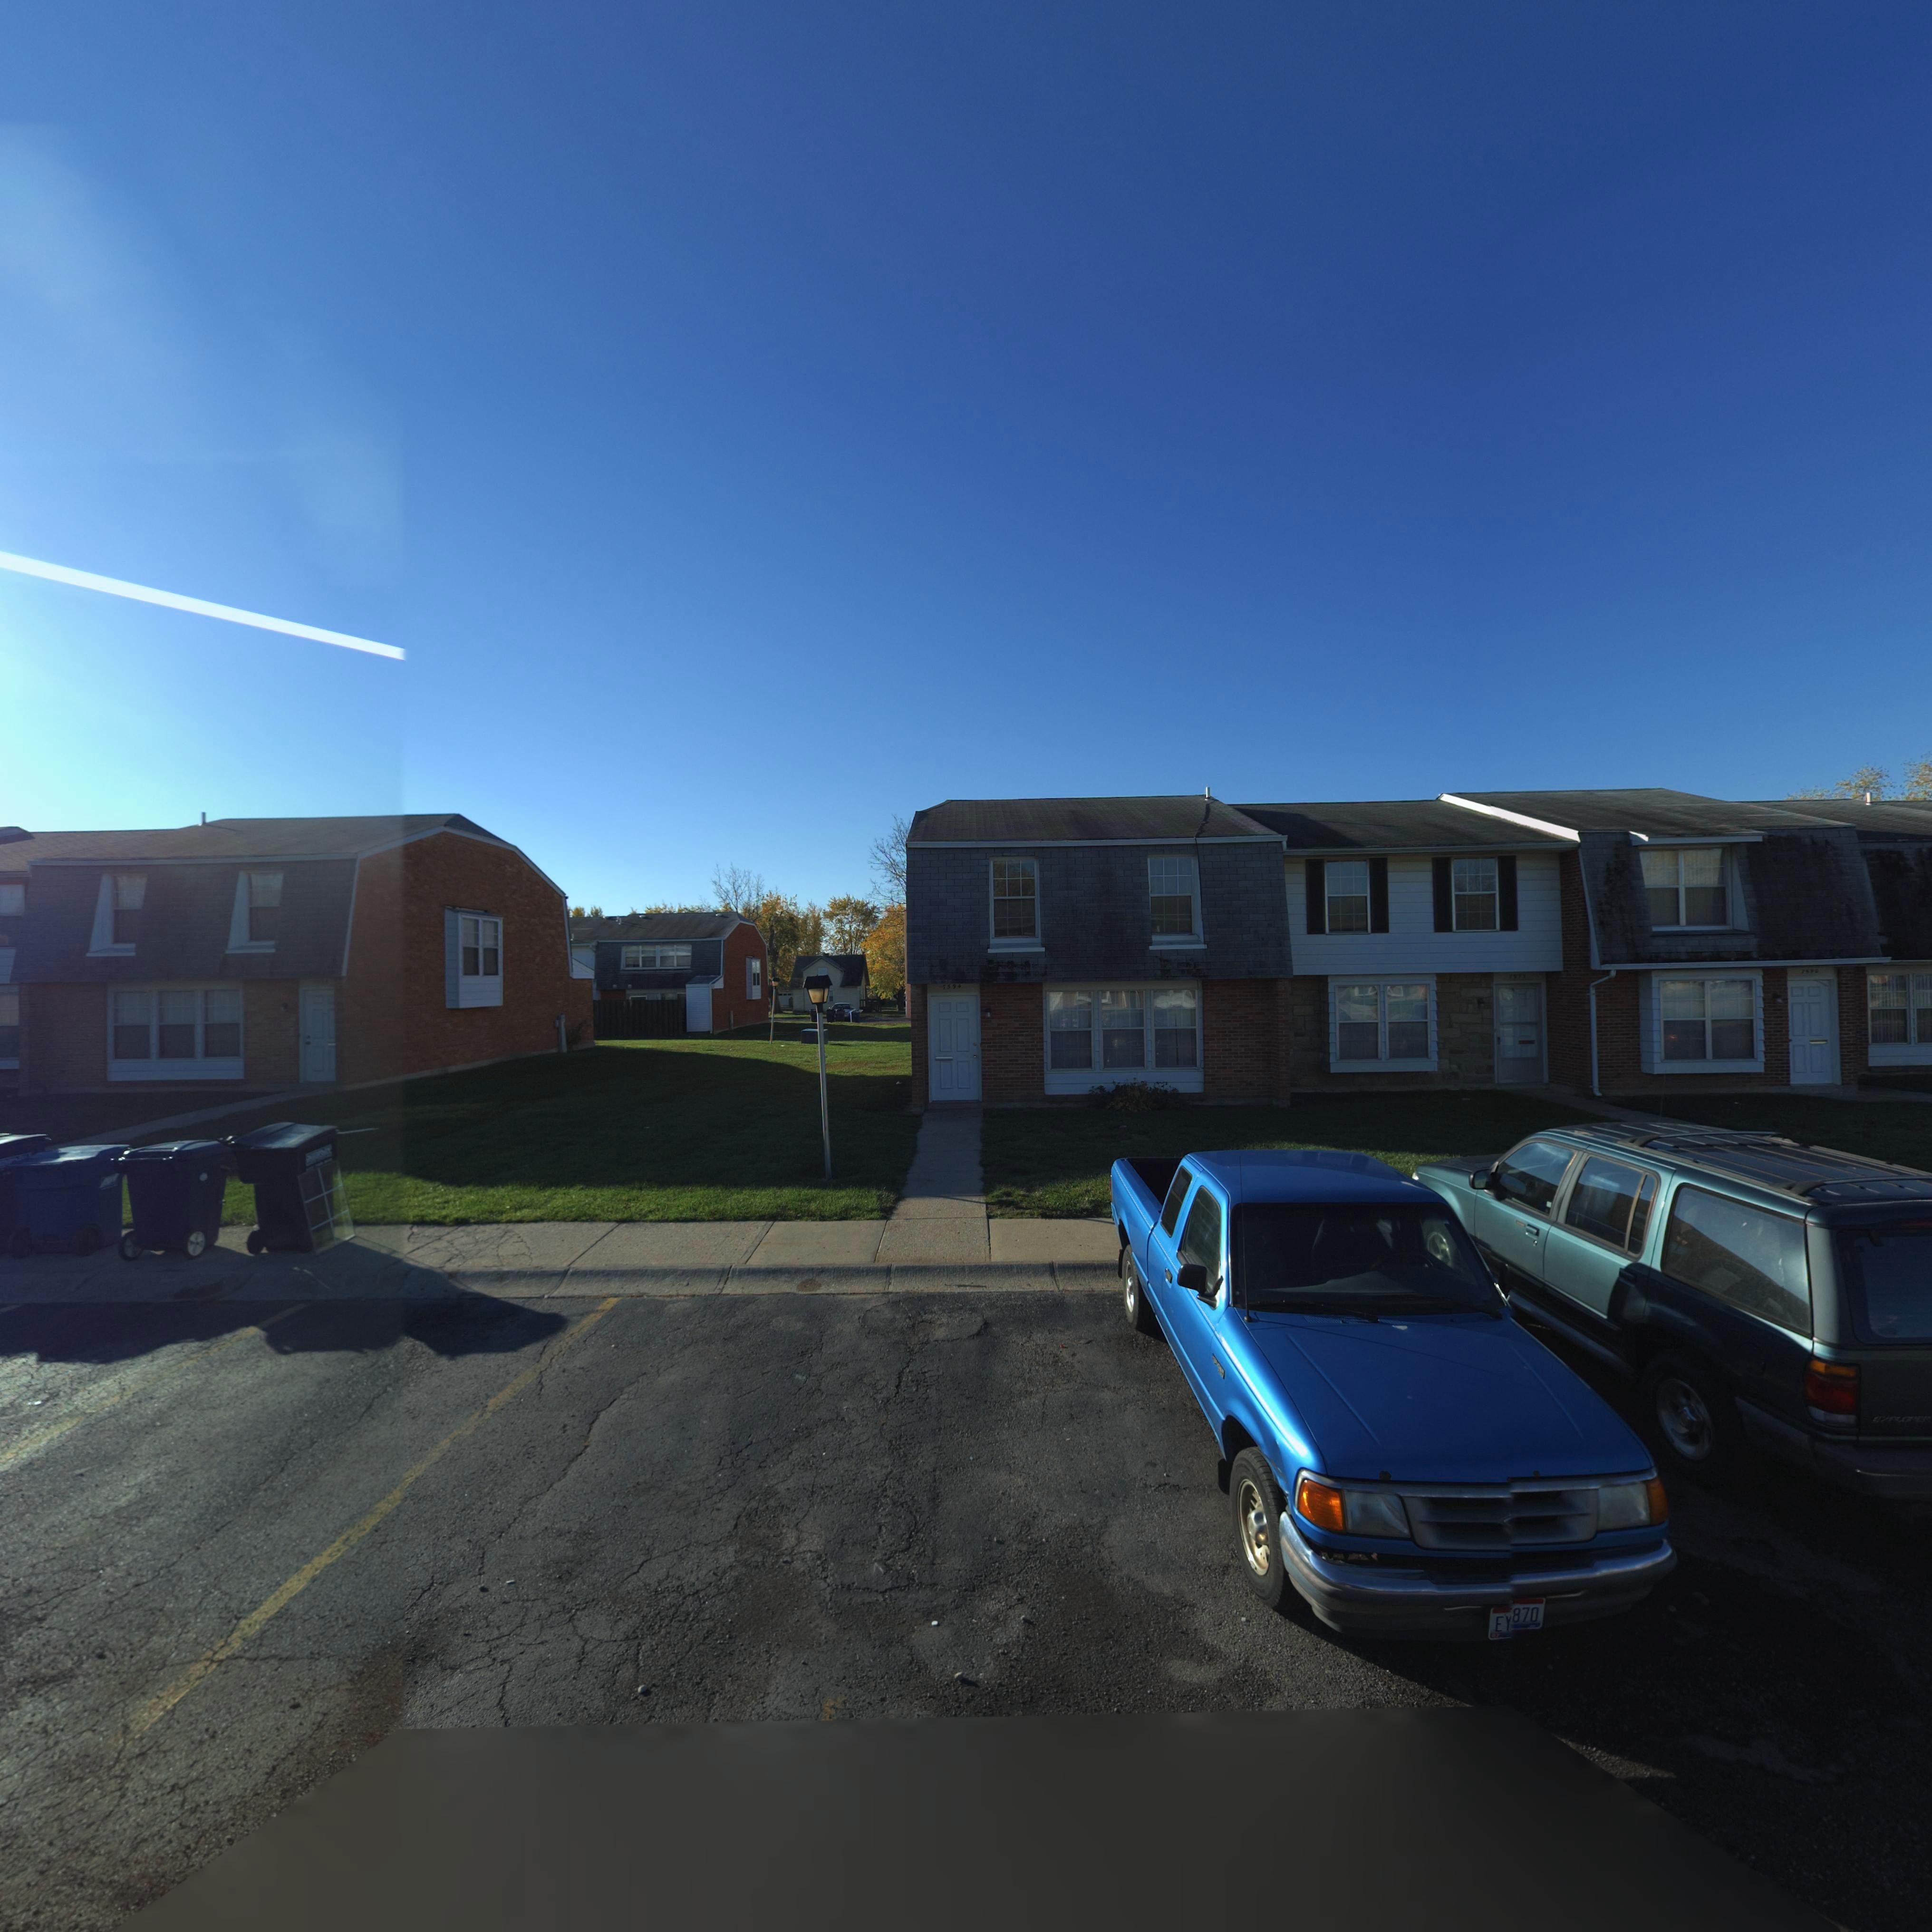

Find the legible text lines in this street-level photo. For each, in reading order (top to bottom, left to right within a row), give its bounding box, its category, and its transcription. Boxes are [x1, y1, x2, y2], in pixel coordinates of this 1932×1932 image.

[1800, 968, 1820, 975] StreetNumber: 7590
[1507, 974, 1527, 980] StreetNumber: 7592
[942, 984, 962, 990] StreetNumber: 7594